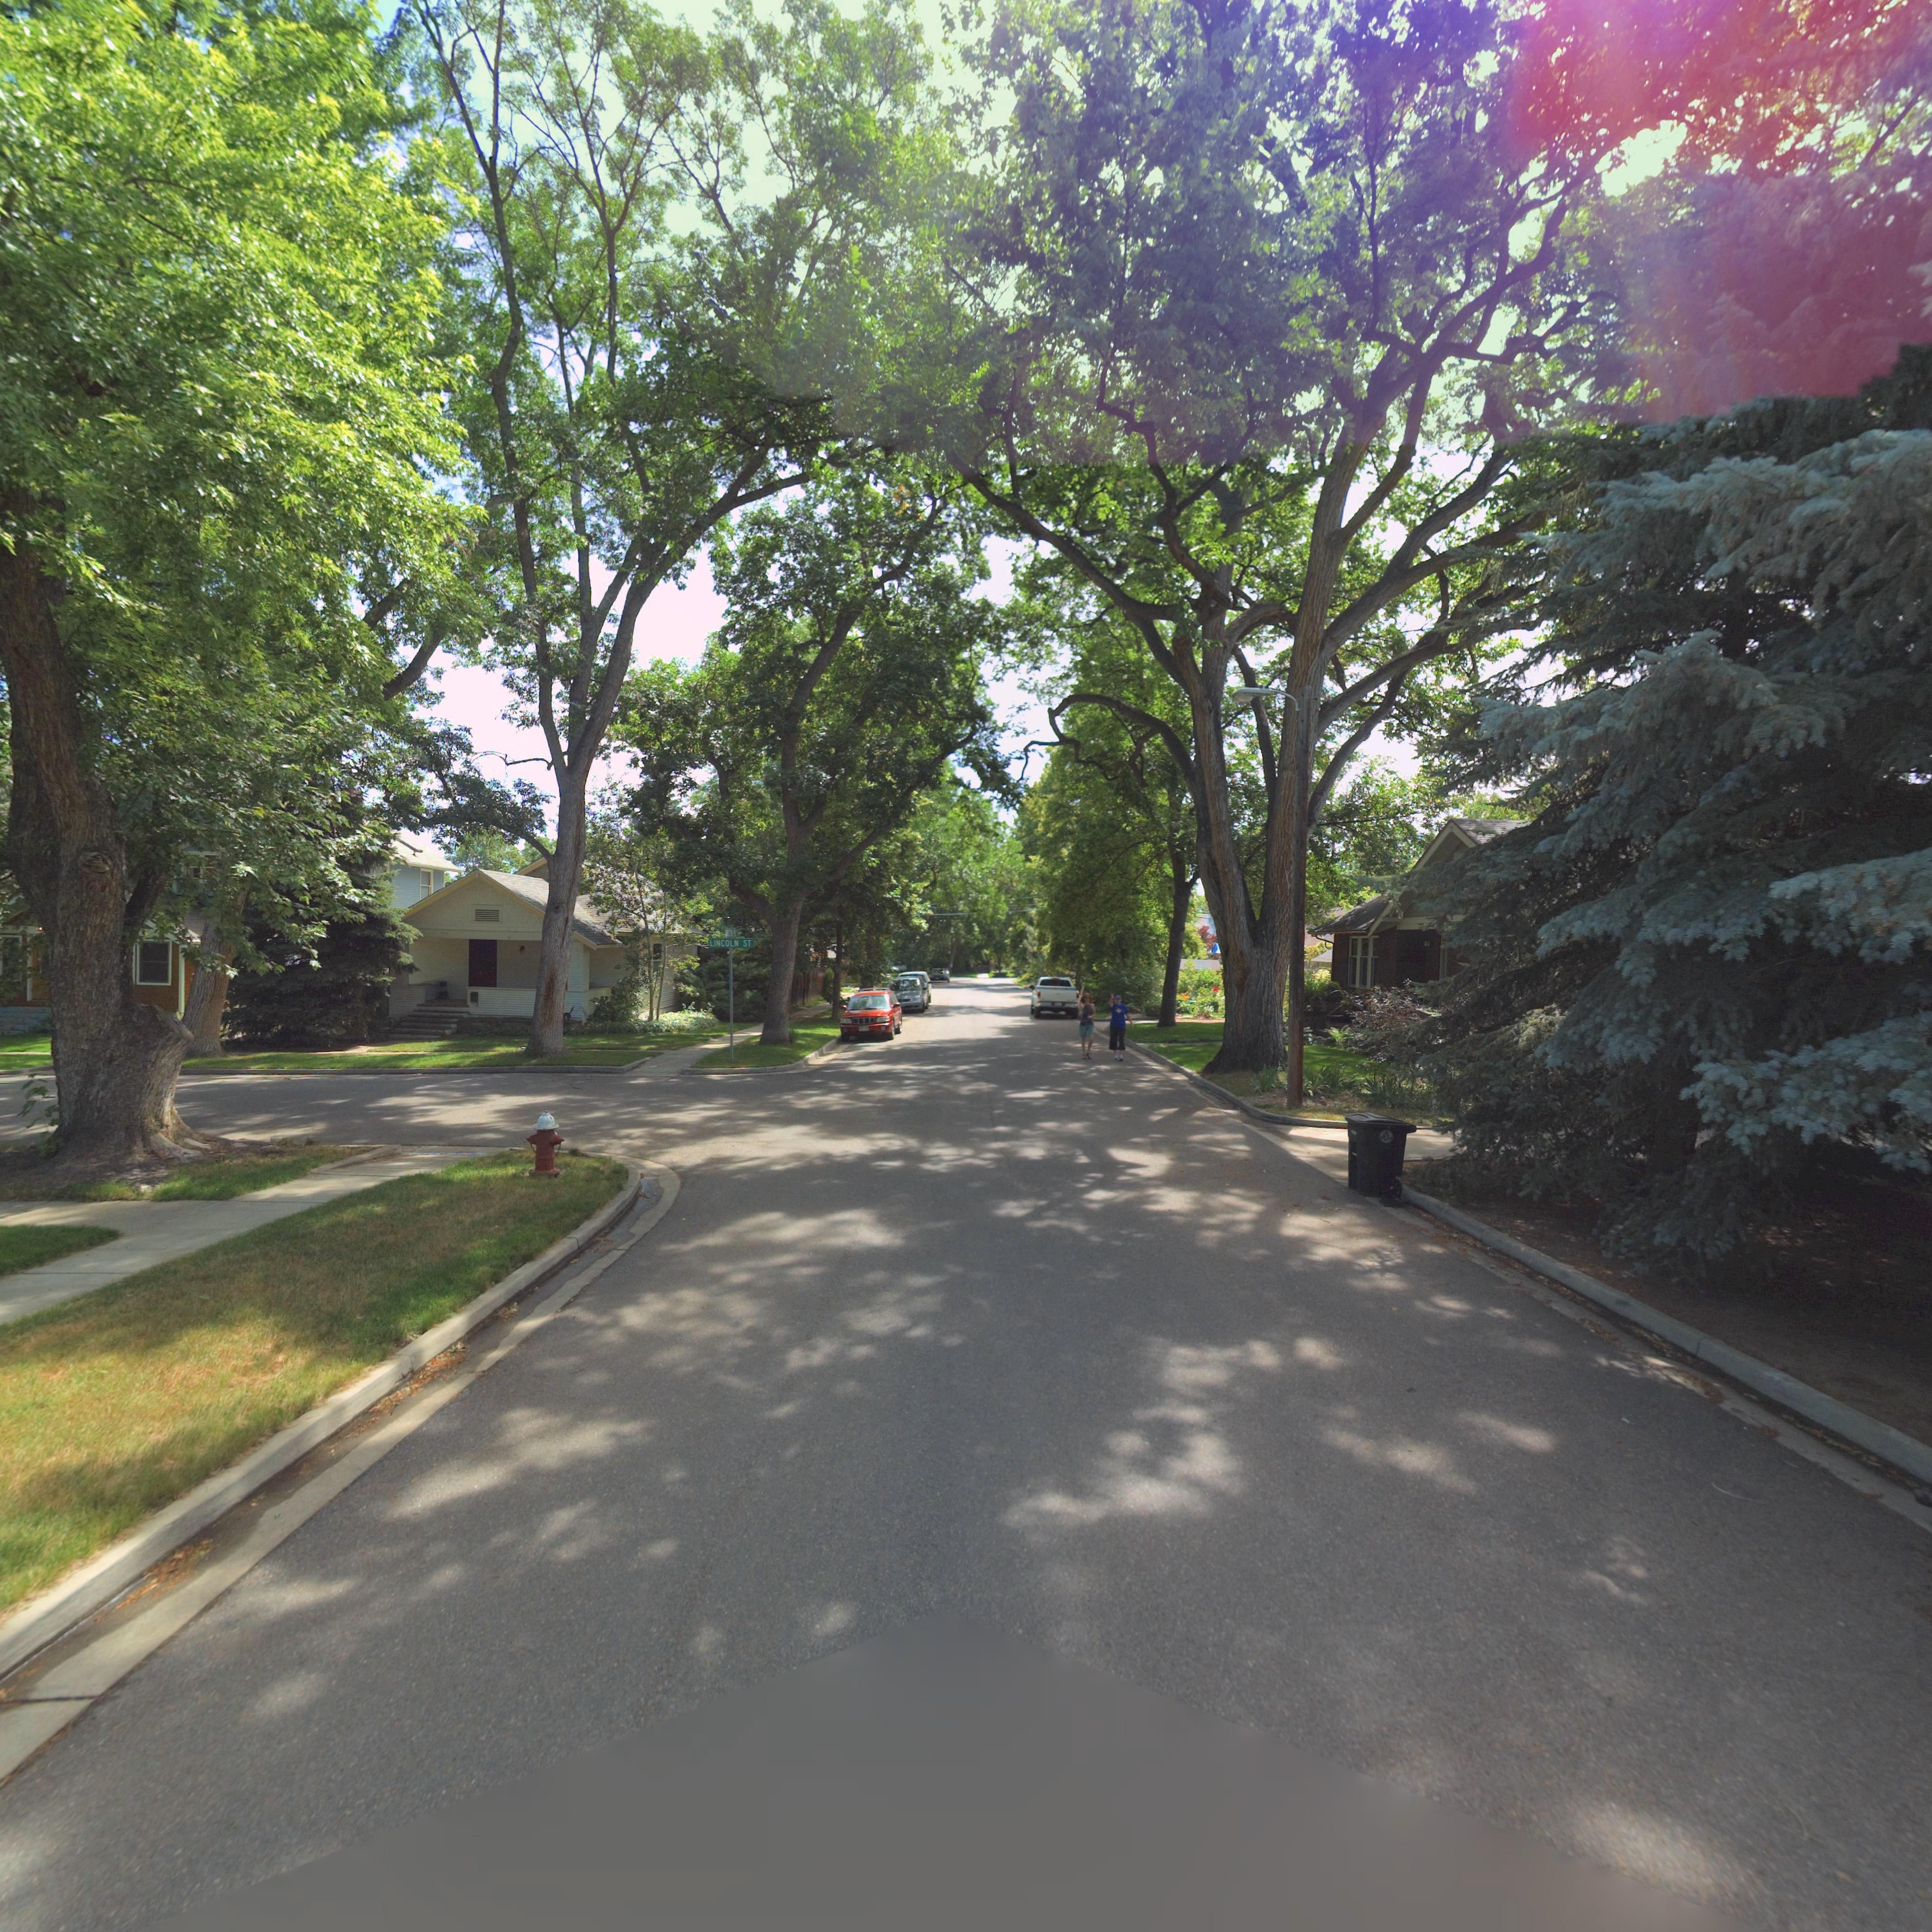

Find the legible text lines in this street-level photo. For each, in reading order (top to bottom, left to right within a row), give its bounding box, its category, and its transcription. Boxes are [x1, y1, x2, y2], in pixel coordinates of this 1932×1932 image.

[710, 939, 751, 947] StreetName: LINCOLN ST